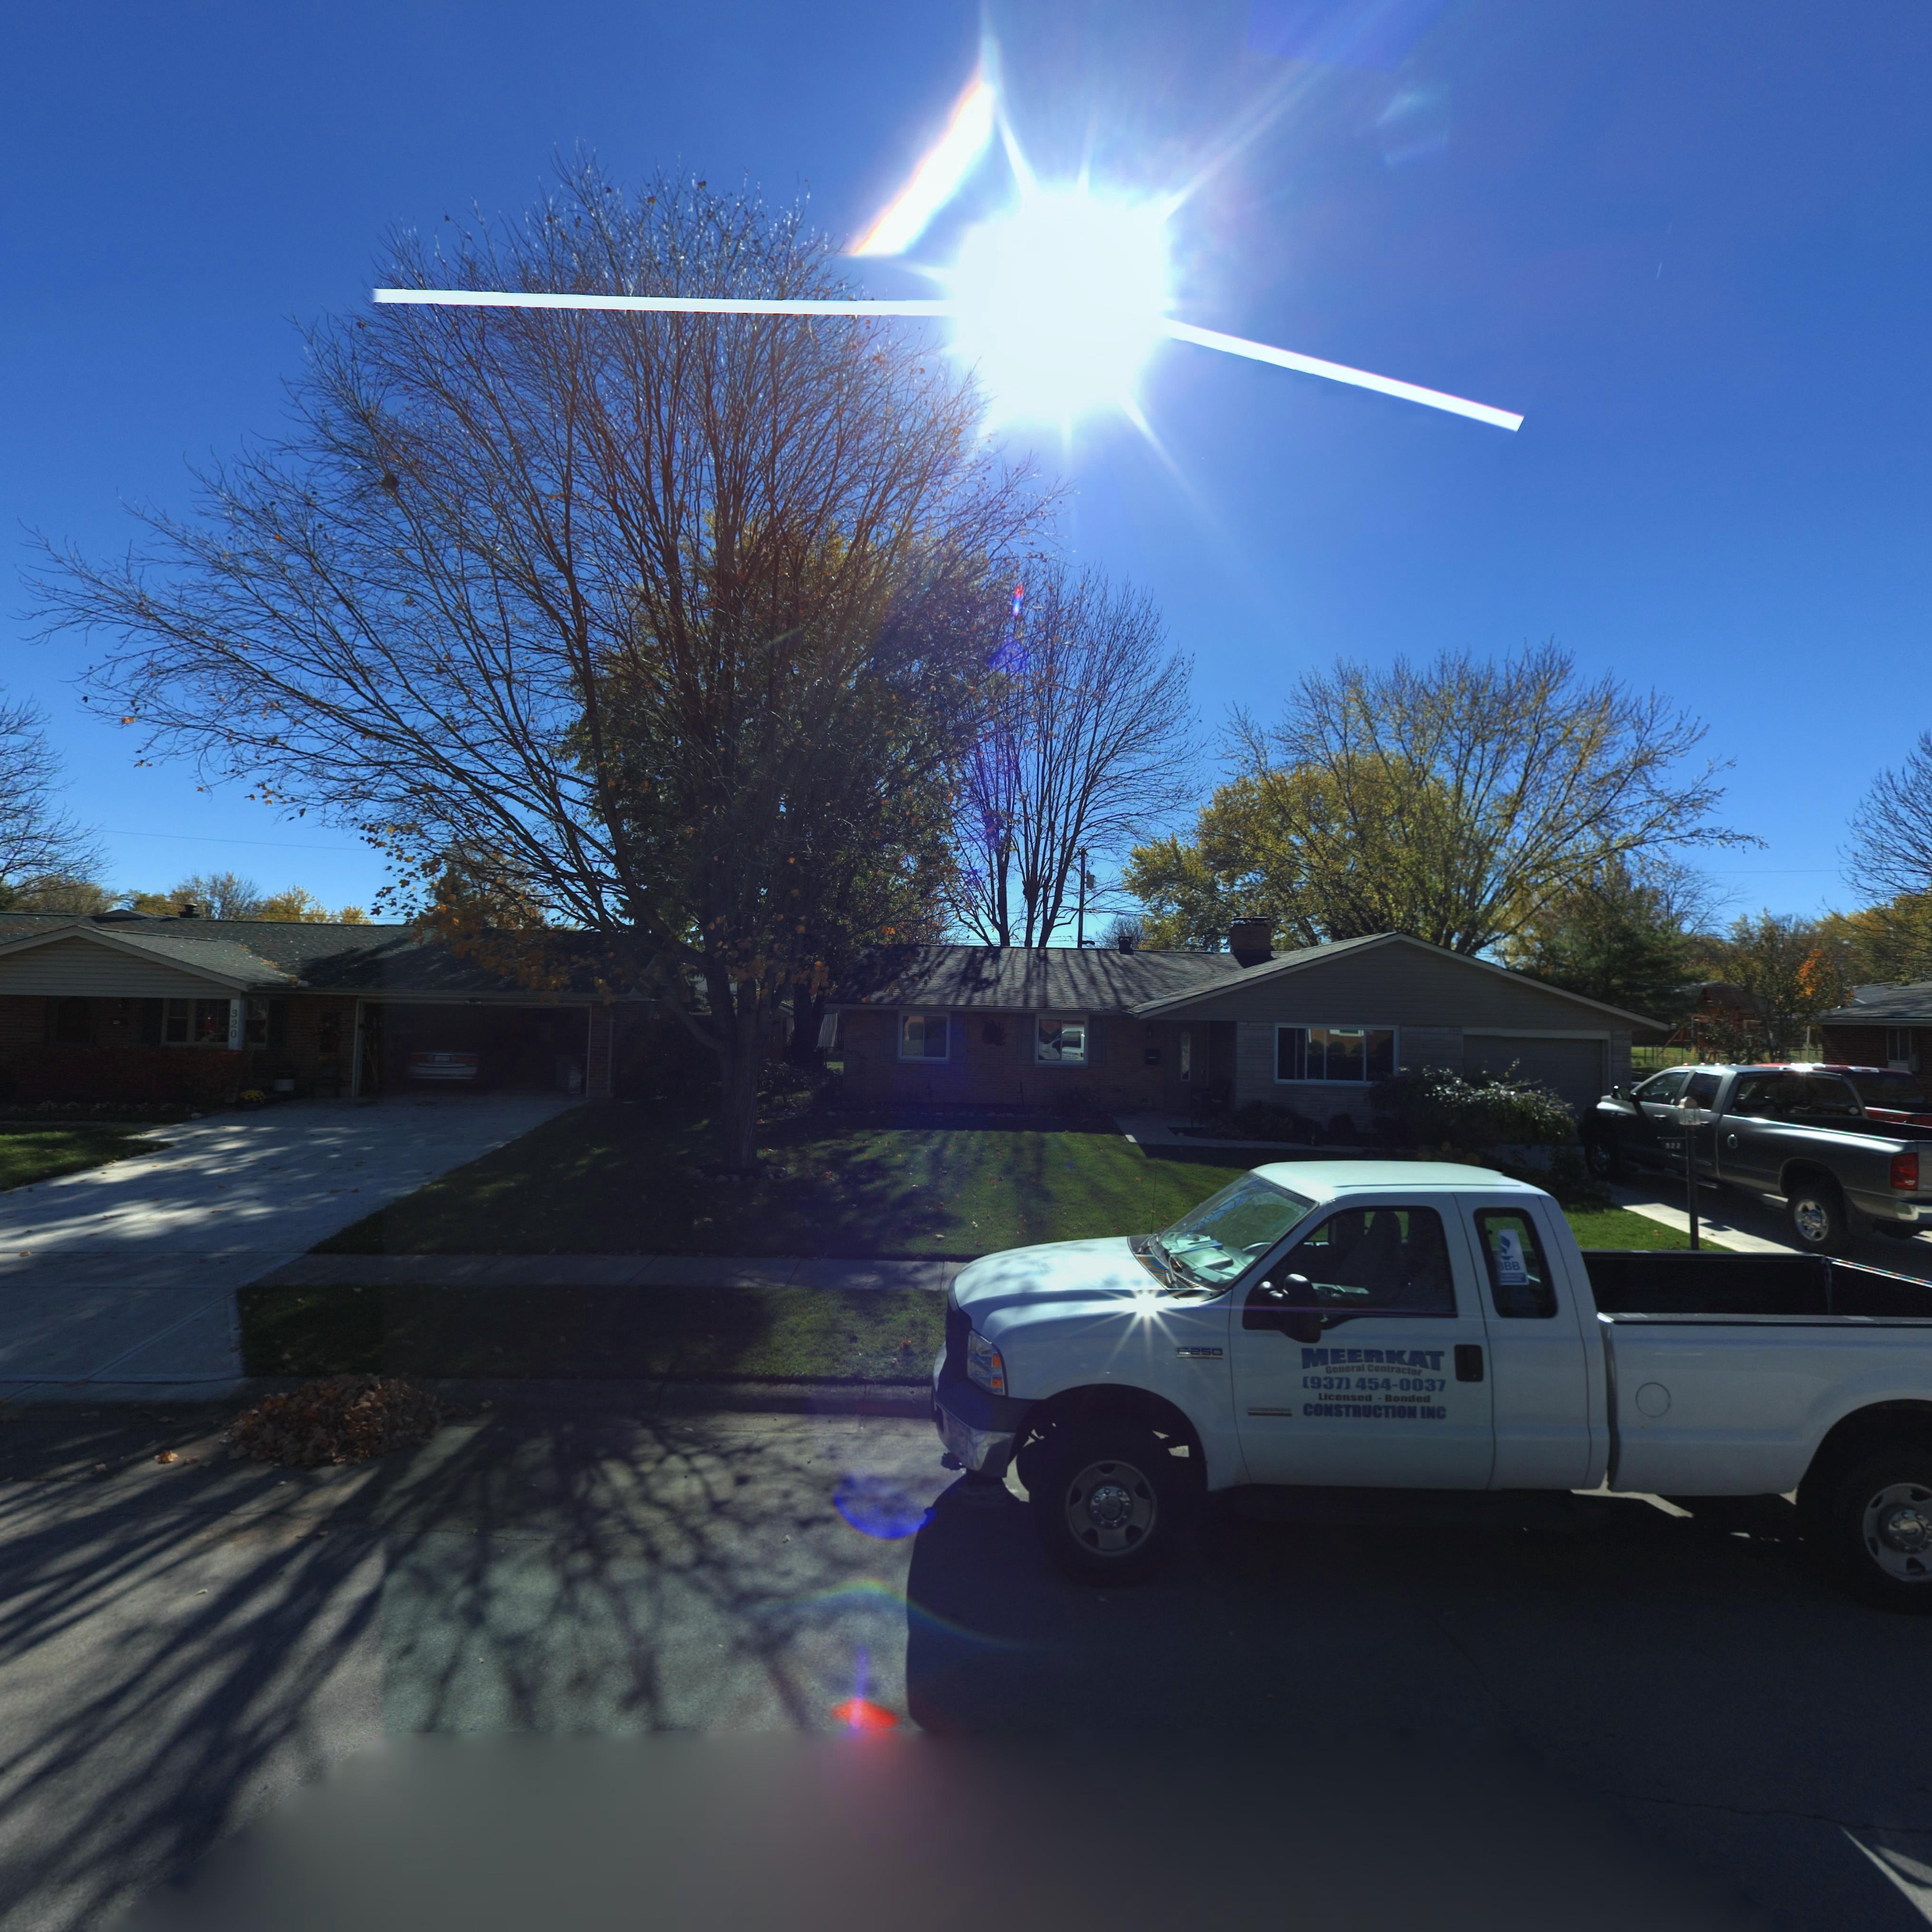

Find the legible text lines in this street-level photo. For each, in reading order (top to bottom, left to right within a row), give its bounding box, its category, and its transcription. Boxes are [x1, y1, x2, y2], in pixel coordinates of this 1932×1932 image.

[229, 1007, 239, 1040] StreetNumber: 320
[1664, 1141, 1682, 1150] StreetNumber: 322
[1503, 1261, 1521, 1271] None: BB
[1176, 1346, 1224, 1357] None: F-250
[1300, 1346, 1446, 1372] None: MEERKAT
[1325, 1363, 1426, 1378] None: General Contractor
[1302, 1375, 1448, 1393] None: (937) 454-0037
[1317, 1391, 1431, 1404] None: Licensed - Bonded
[1301, 1402, 1448, 1420] None: CONSTRUCTION INC